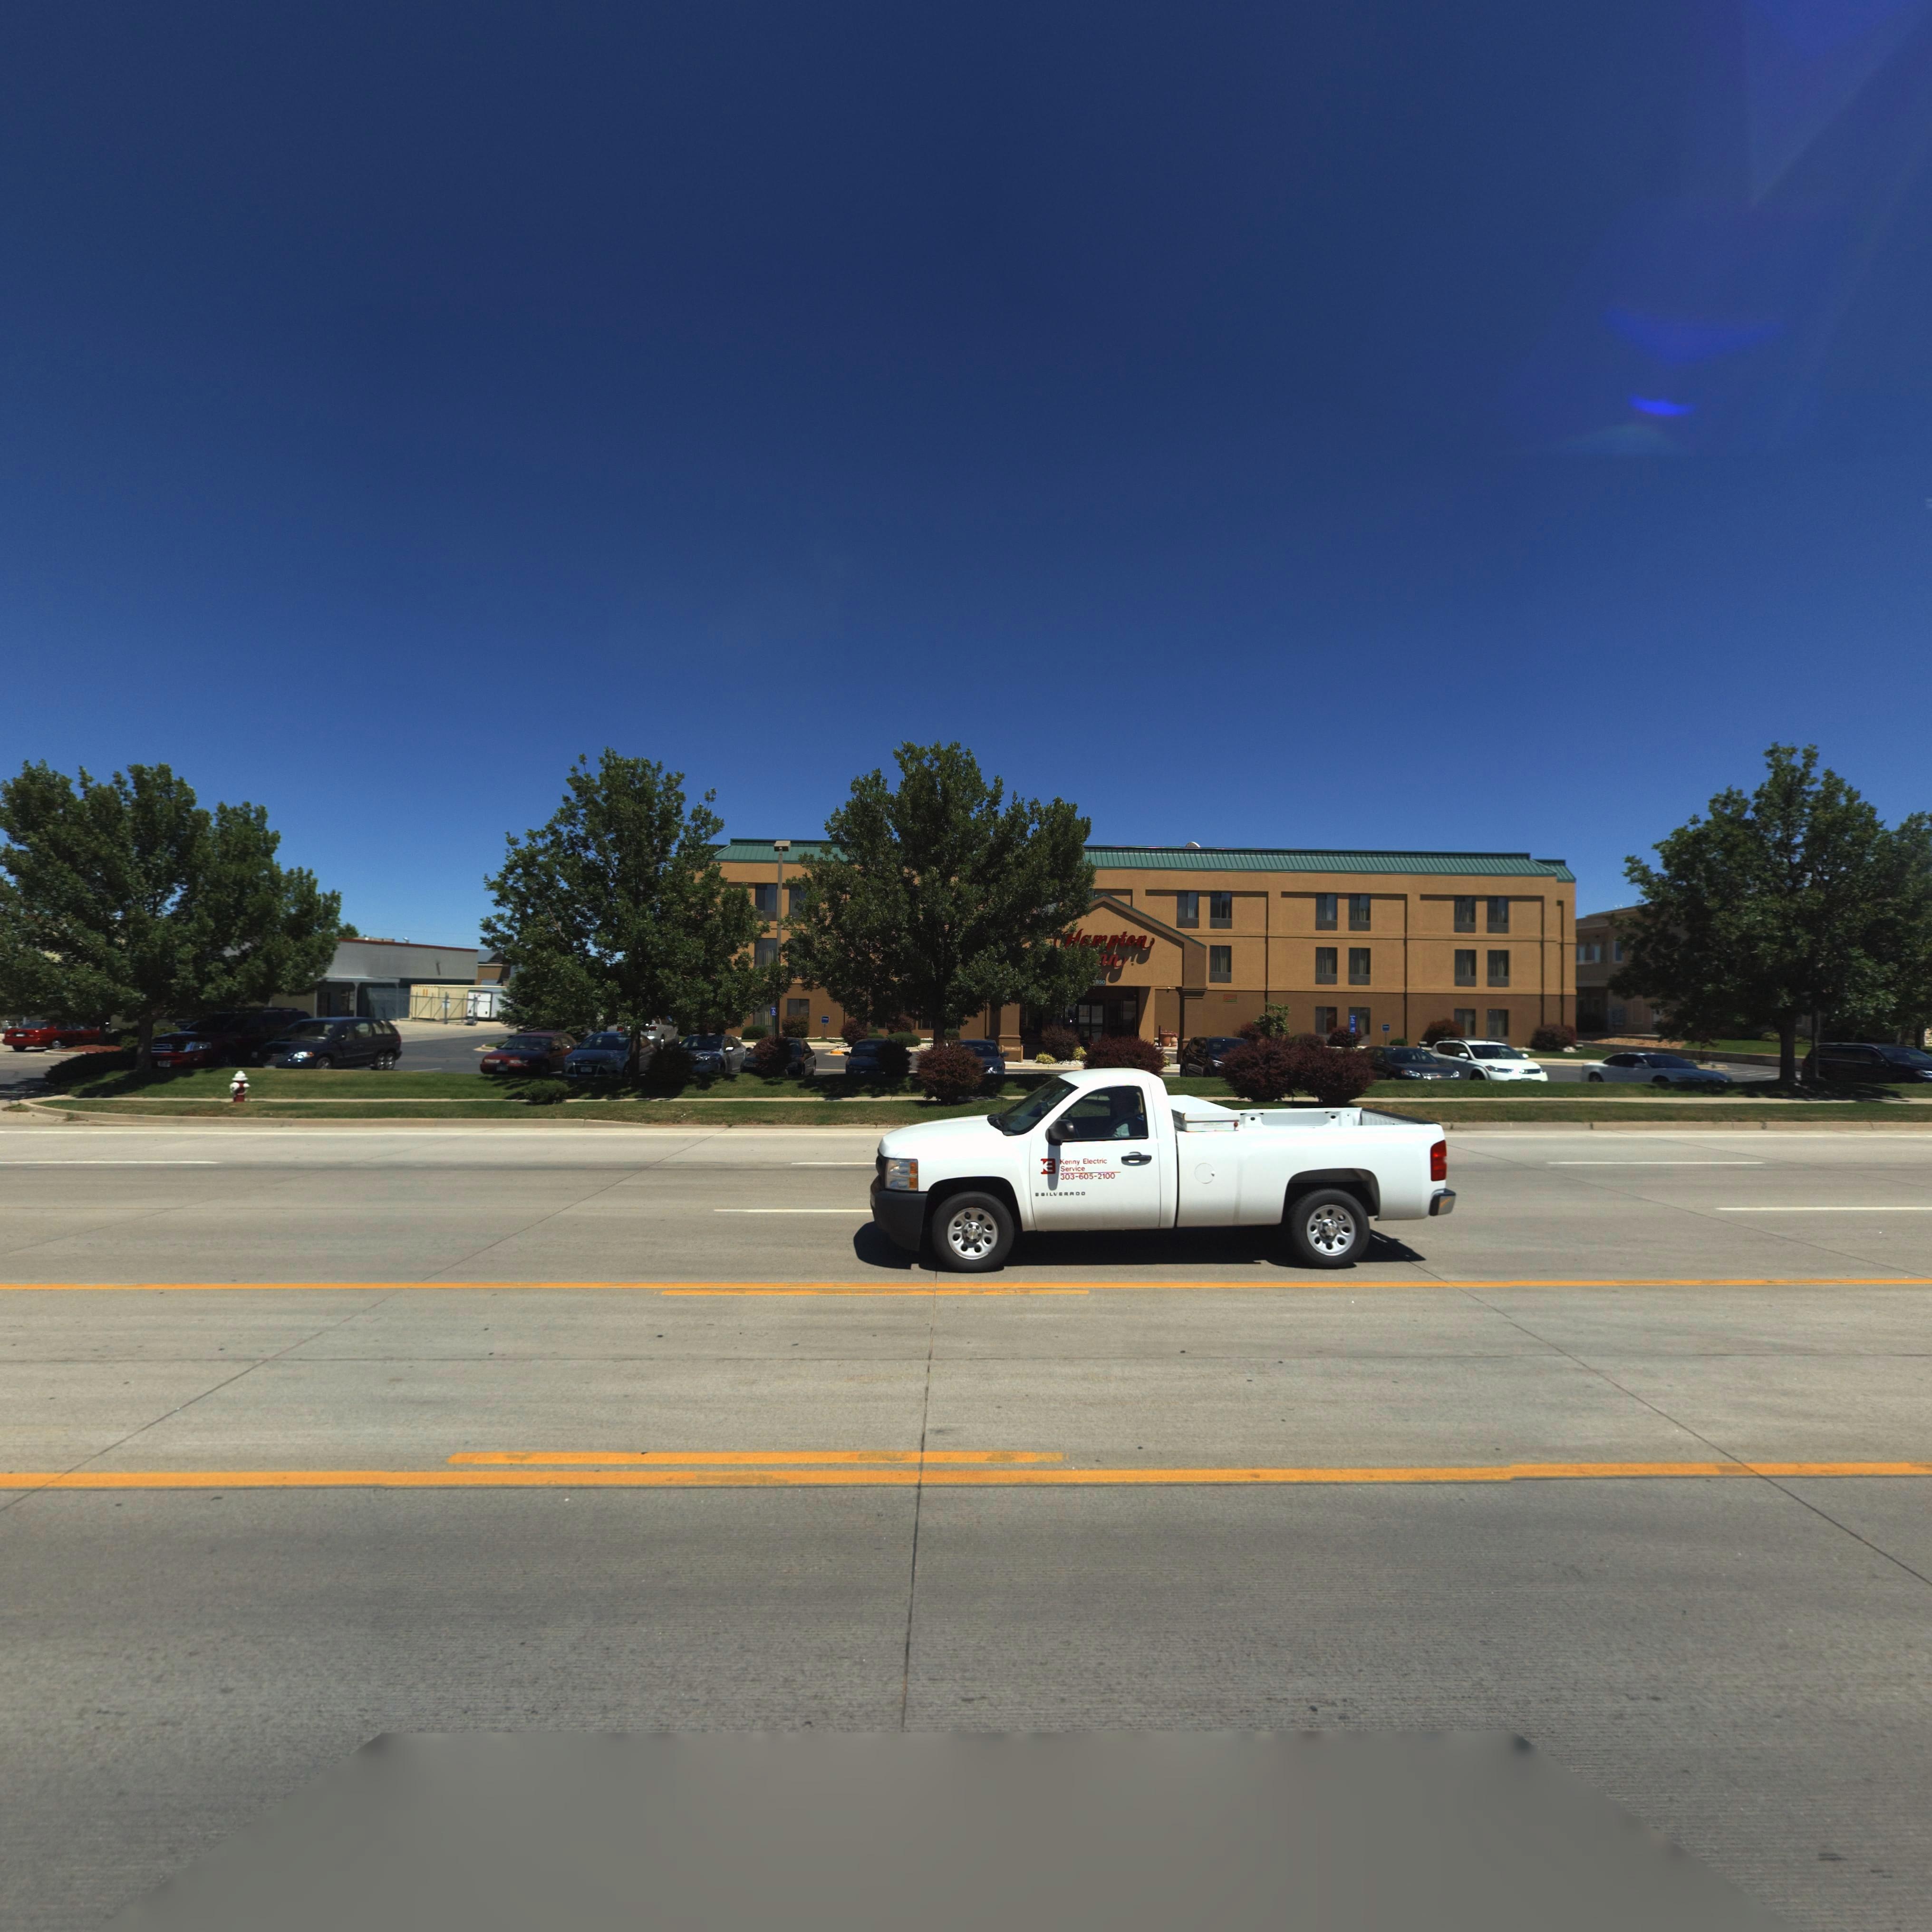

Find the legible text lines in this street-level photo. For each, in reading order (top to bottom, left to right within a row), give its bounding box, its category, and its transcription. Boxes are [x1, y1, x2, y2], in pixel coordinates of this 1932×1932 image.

[1064, 927, 1147, 951] BusinessName: H*mpton
[1095, 953, 1119, 966] BusinessName: nn
[1095, 979, 1105, 985] StreetNumber: 850